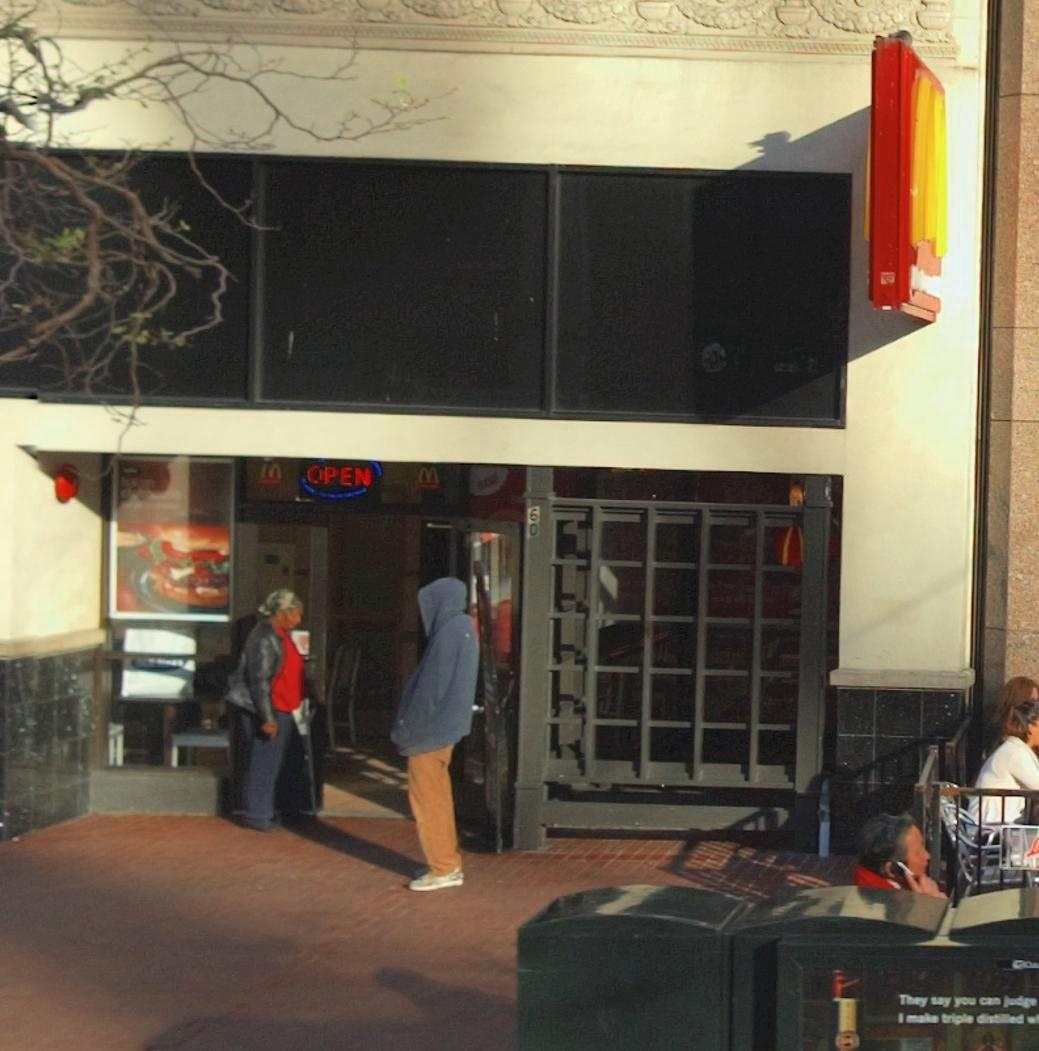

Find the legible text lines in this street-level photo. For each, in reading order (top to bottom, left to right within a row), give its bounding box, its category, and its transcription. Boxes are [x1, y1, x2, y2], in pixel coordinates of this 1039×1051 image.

[305, 464, 373, 488] None: OPEN
[528, 507, 539, 537] StreetNumber: 60
[898, 993, 1038, 1009] None: They say you can judge
[897, 1011, 1025, 1026] None: I make triple distilled